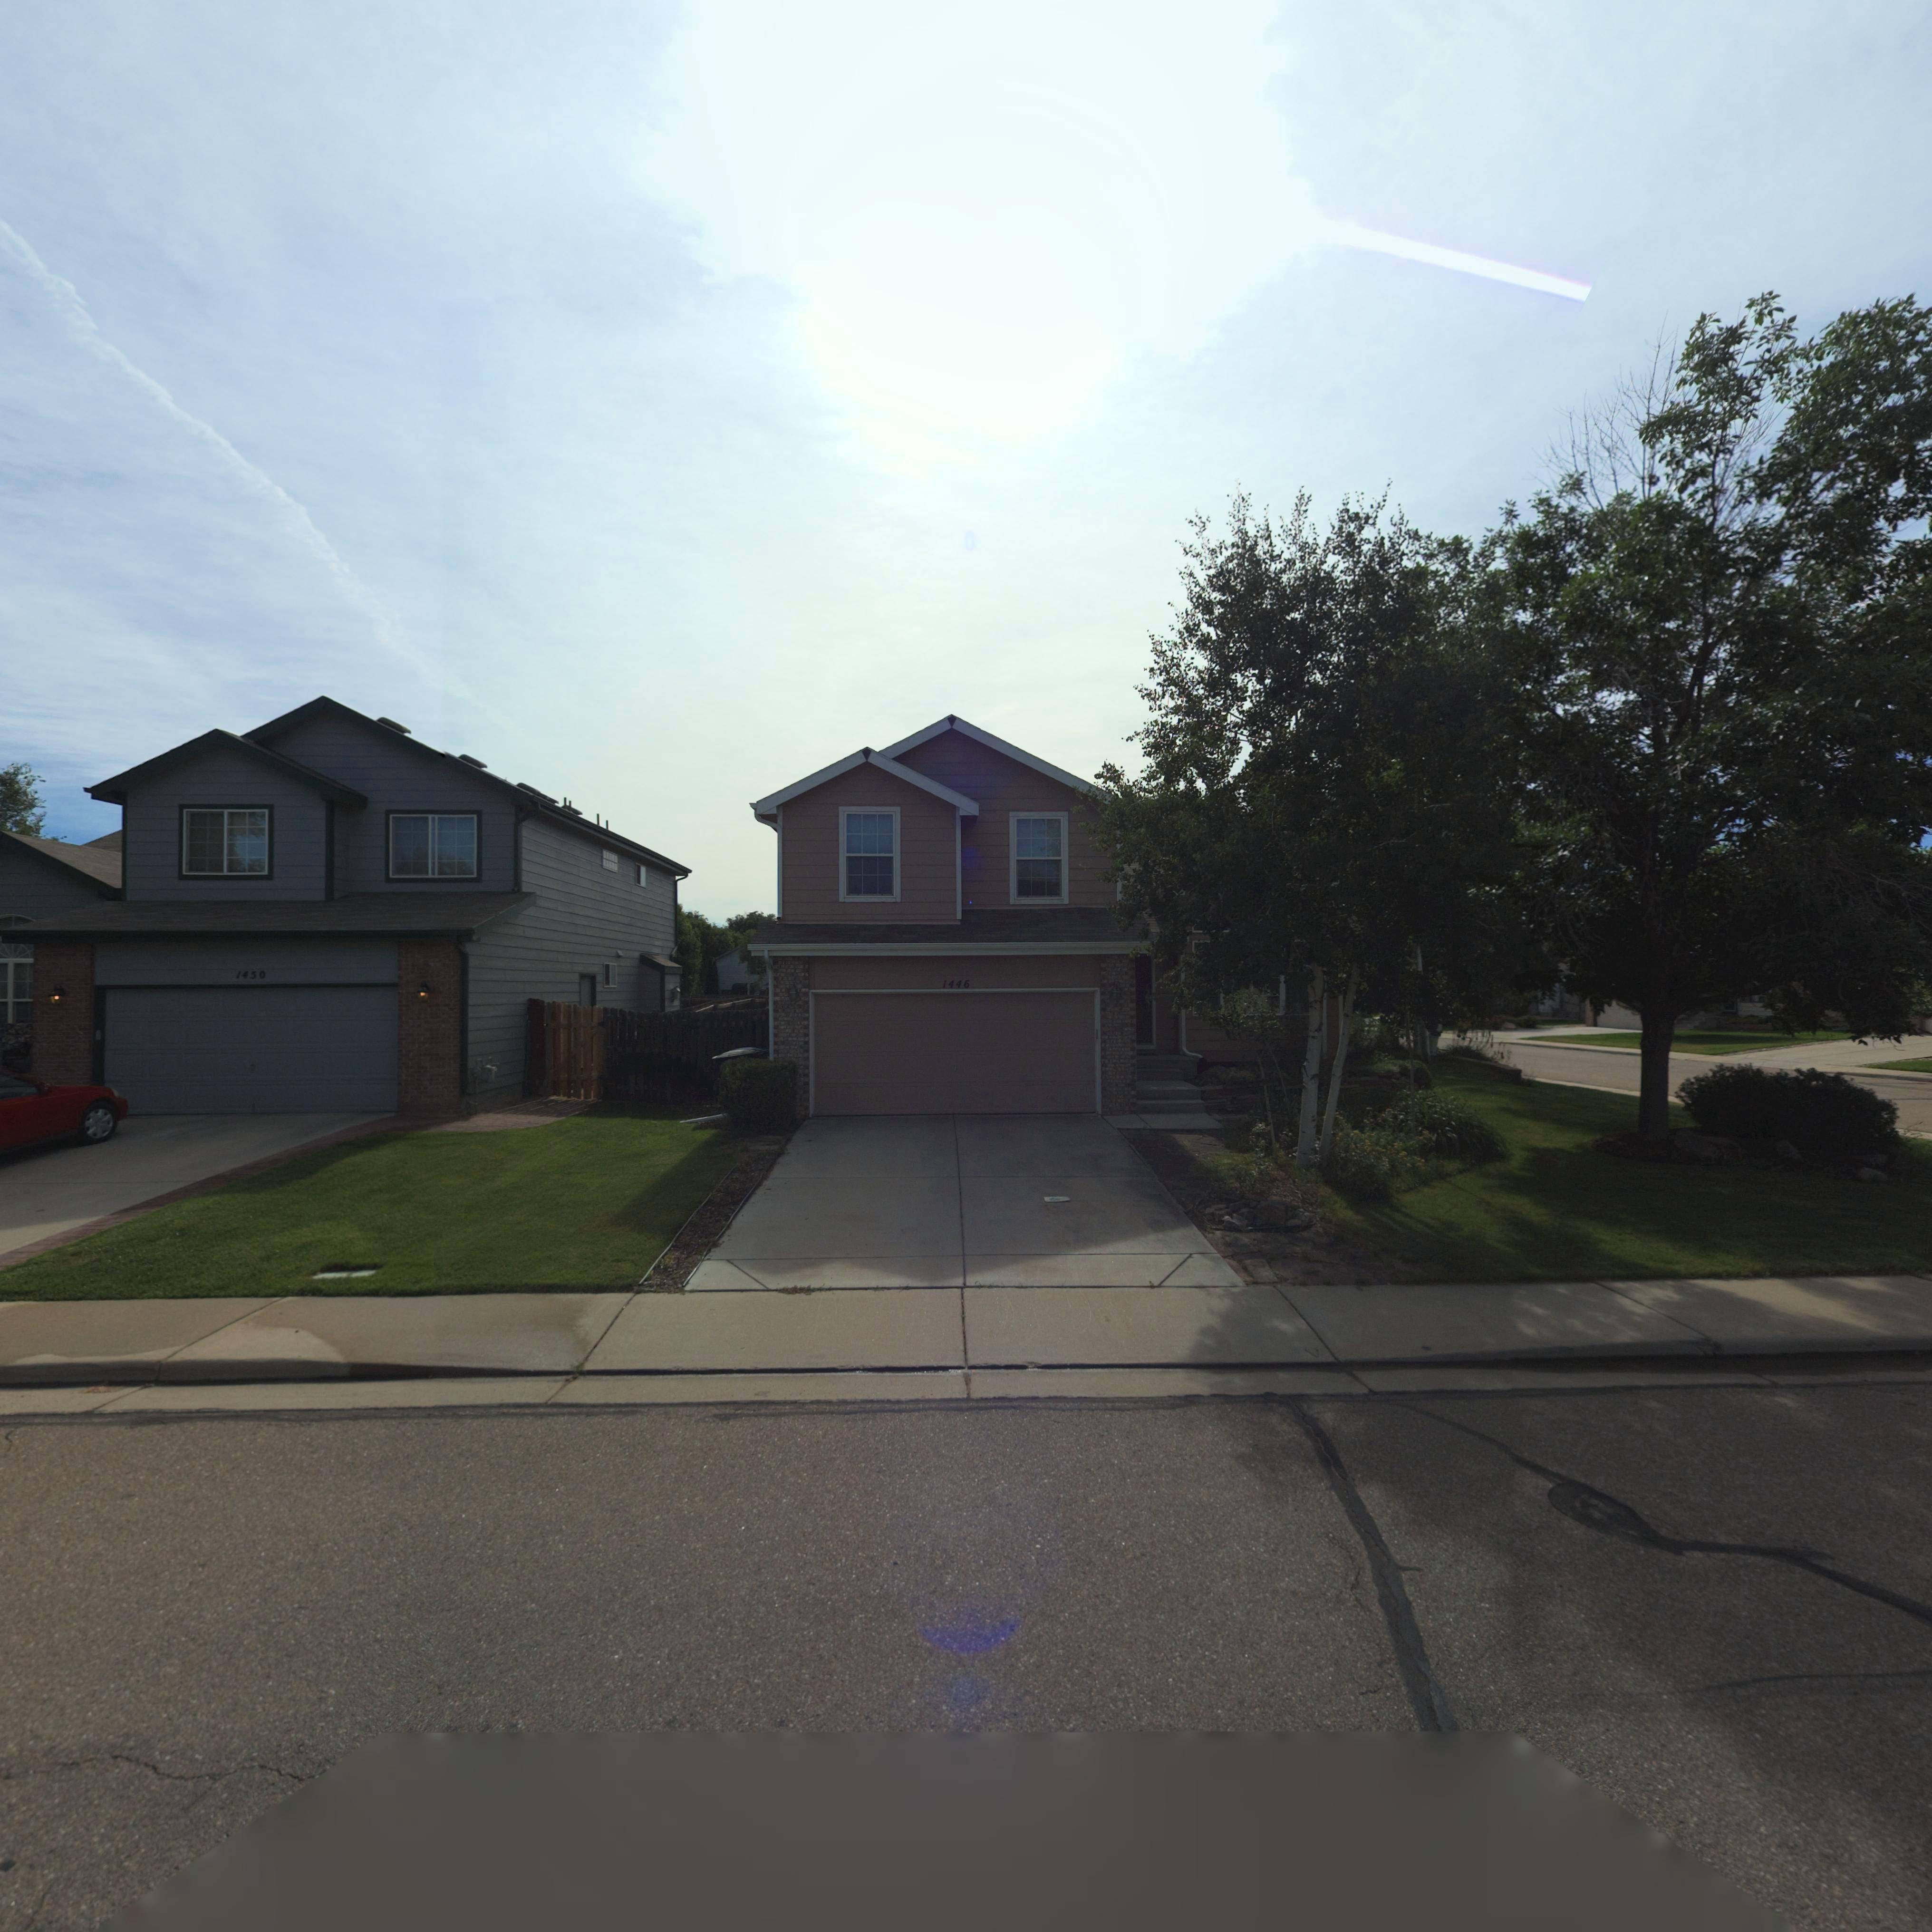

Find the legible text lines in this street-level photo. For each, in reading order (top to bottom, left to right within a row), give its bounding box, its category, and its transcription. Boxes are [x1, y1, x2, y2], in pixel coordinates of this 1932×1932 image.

[235, 969, 266, 979] StreetNumber: 1450
[941, 979, 970, 989] StreetNumber: 1446